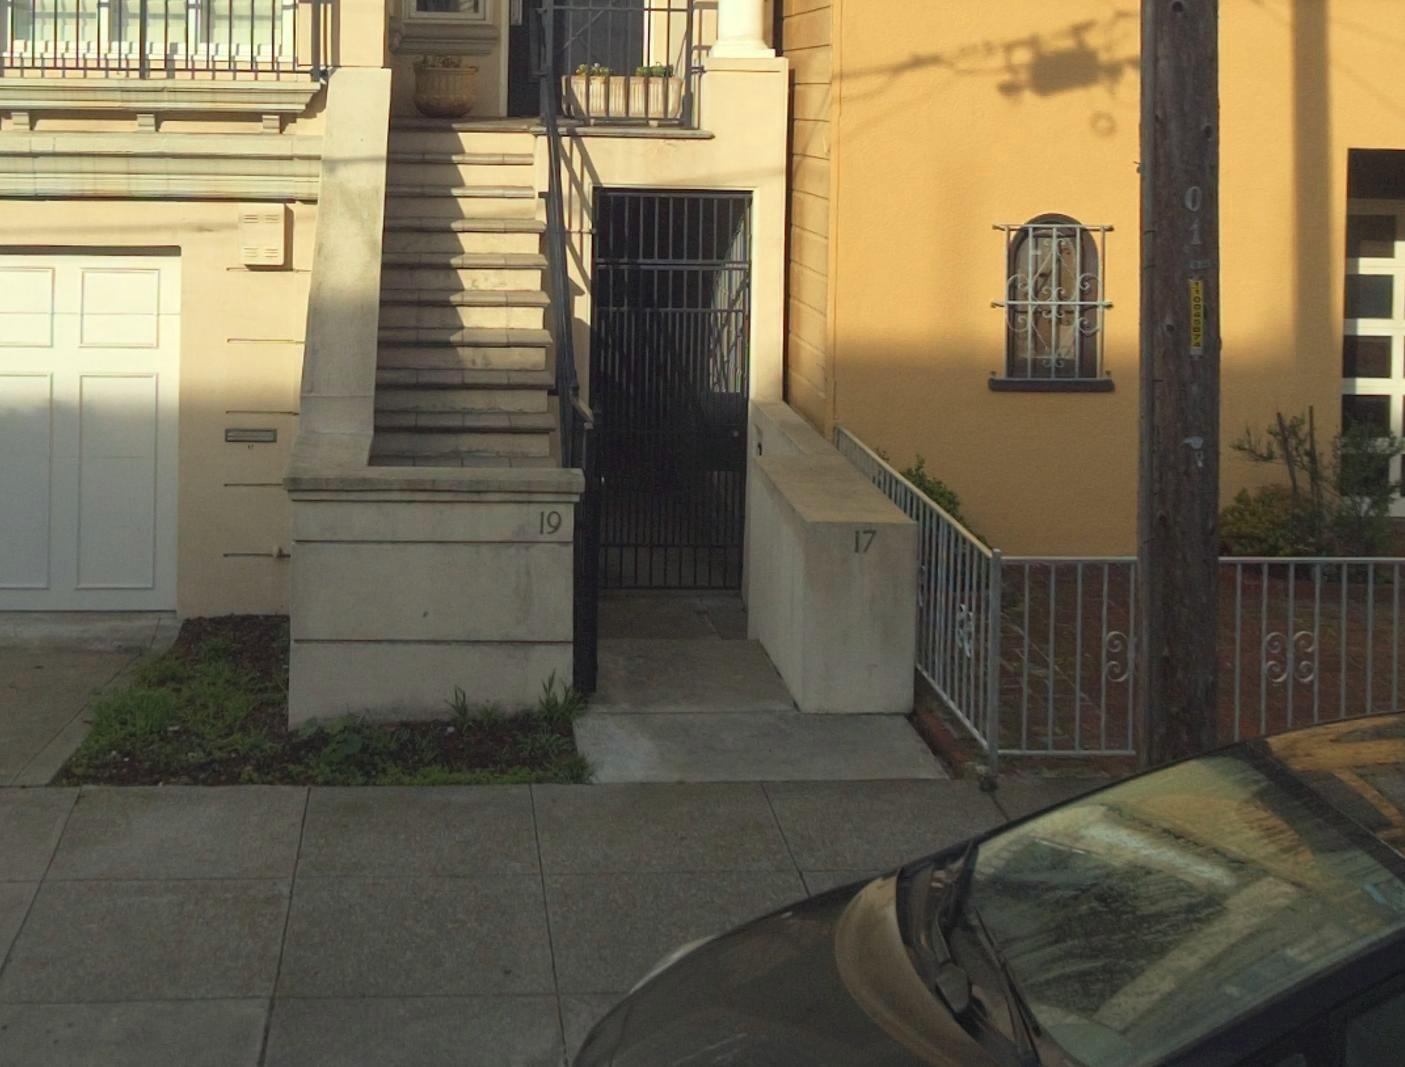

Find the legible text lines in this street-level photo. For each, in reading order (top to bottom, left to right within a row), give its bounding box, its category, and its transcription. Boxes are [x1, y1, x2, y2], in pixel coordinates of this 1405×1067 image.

[1181, 180, 1206, 249] None: 01
[1190, 278, 1205, 351] None: 11004**74
[537, 508, 565, 536] StreetNumber: 19
[852, 527, 881, 556] StreetNumber: 17